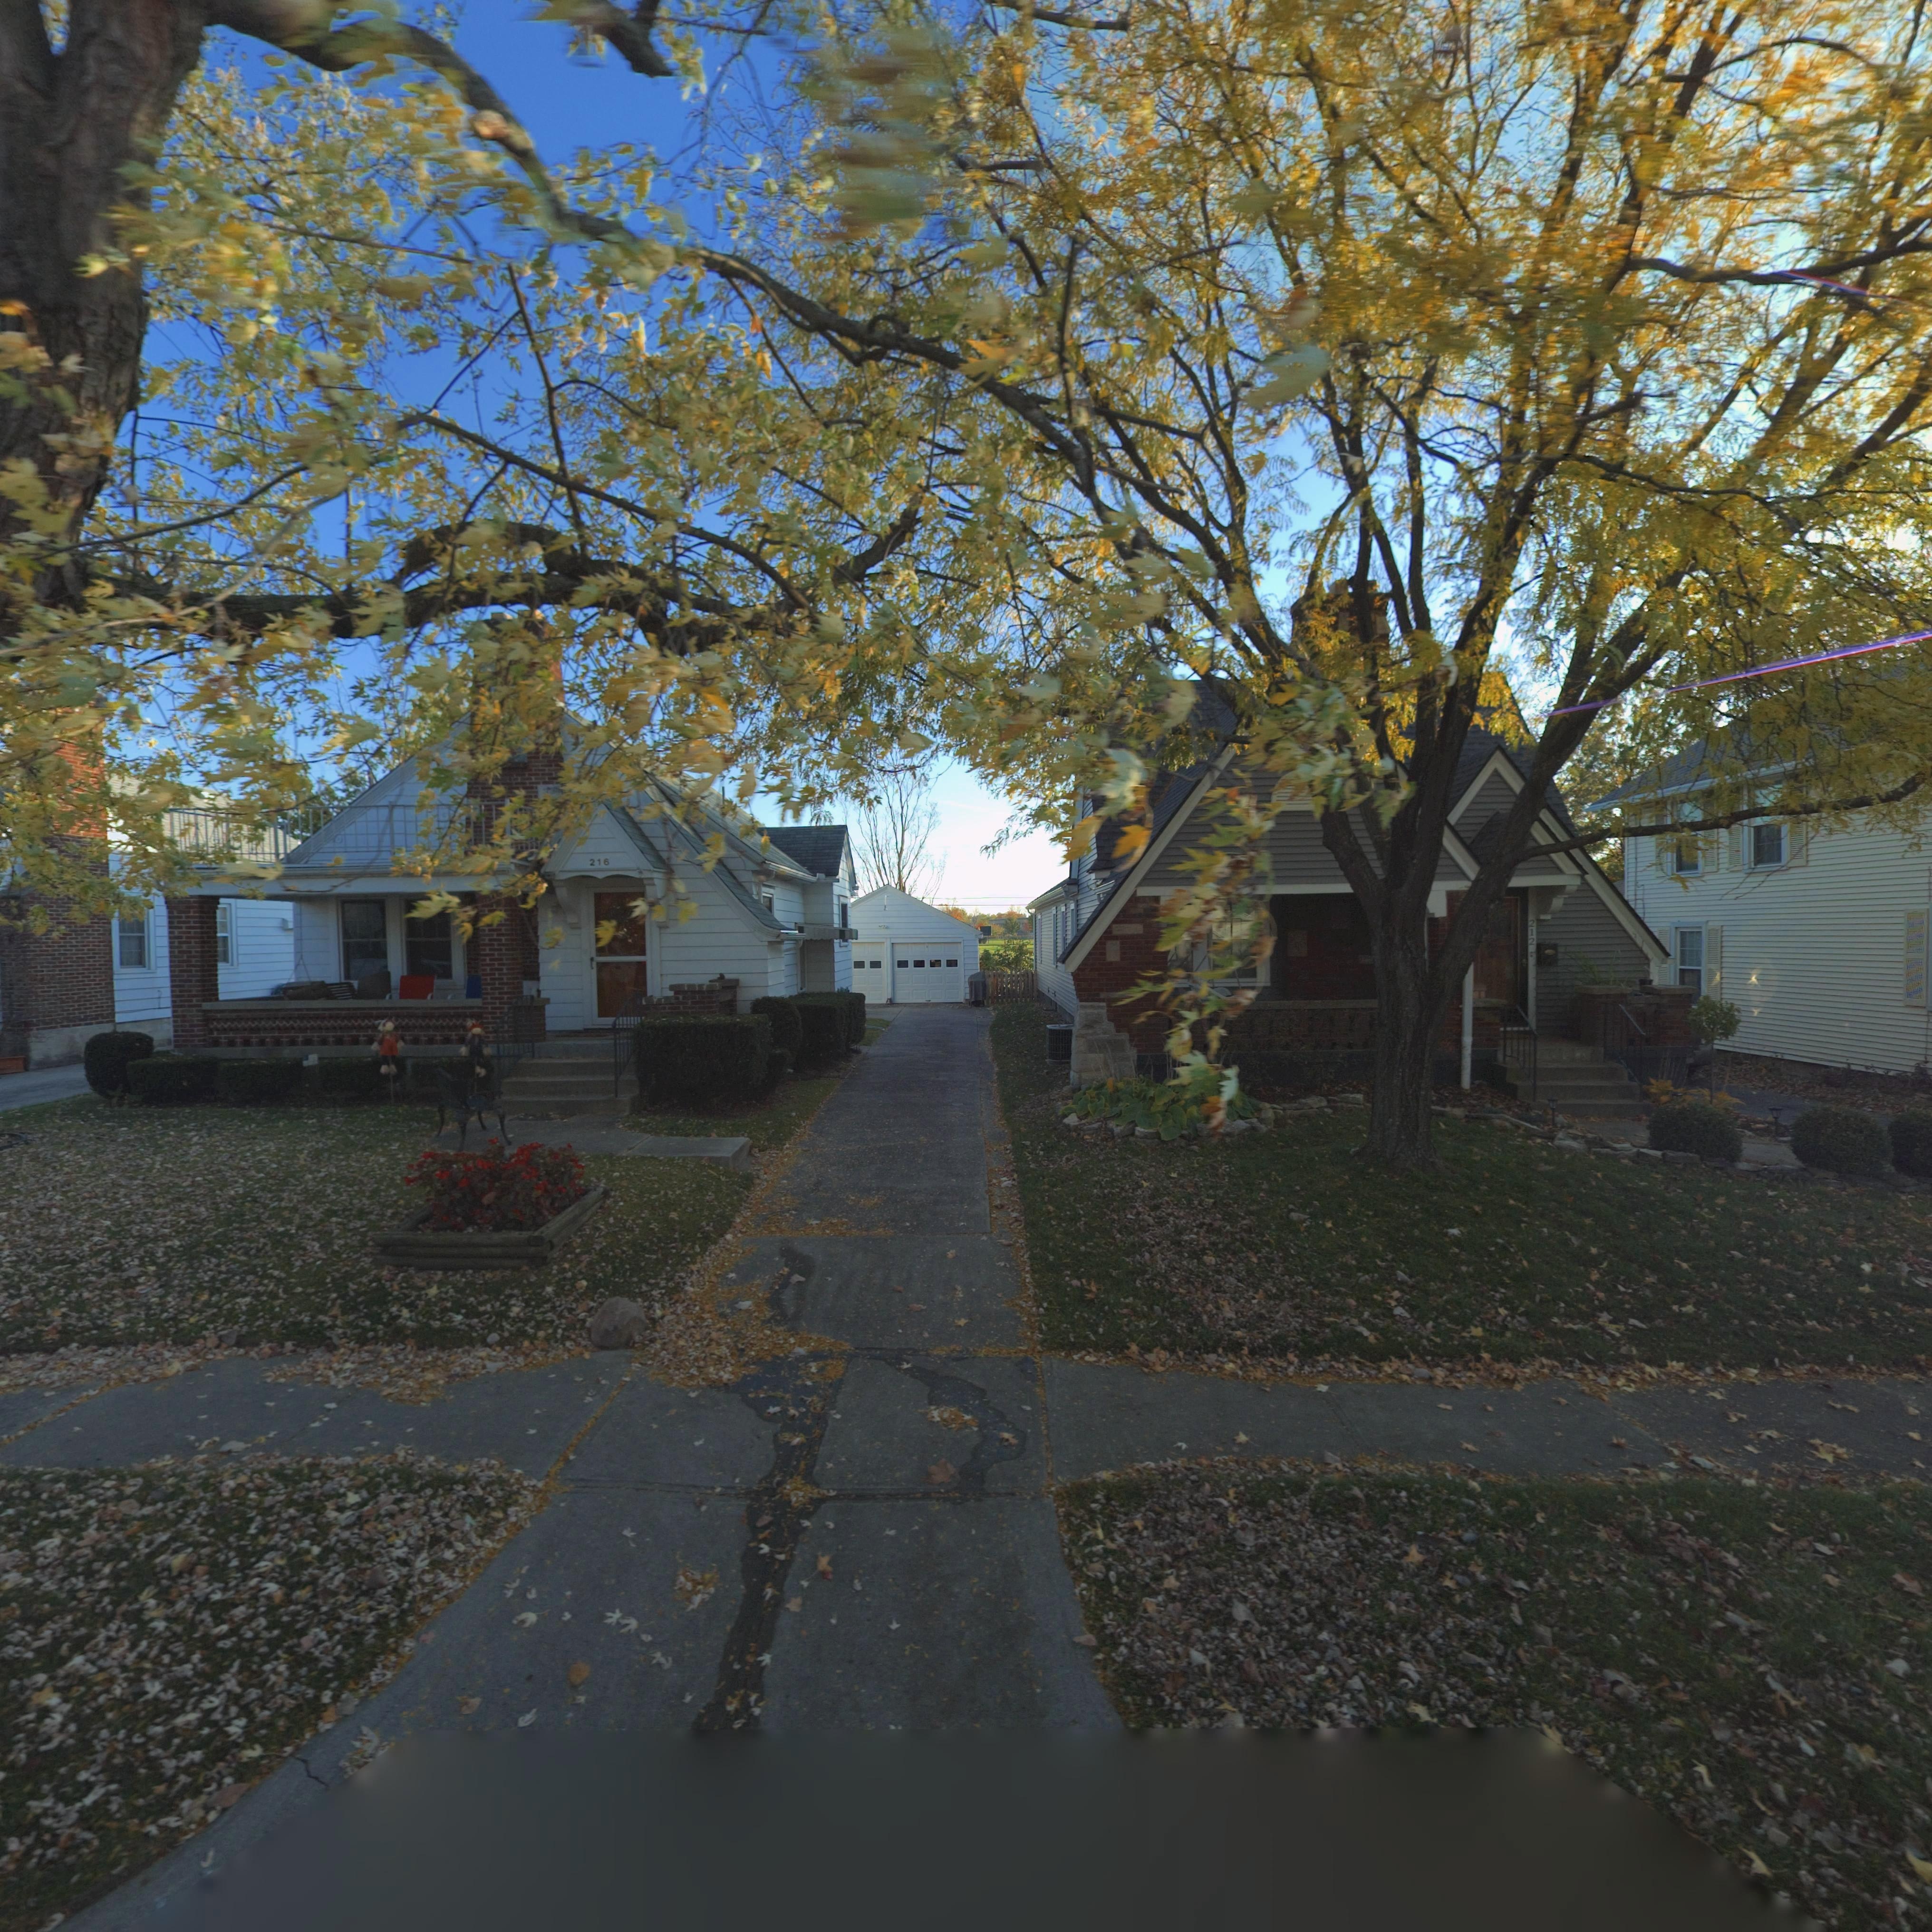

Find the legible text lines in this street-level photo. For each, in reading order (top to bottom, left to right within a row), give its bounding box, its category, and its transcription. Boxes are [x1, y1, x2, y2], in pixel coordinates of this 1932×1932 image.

[589, 858, 610, 866] StreetNumber: 216
[1528, 919, 1536, 946] StreetNumber: 212